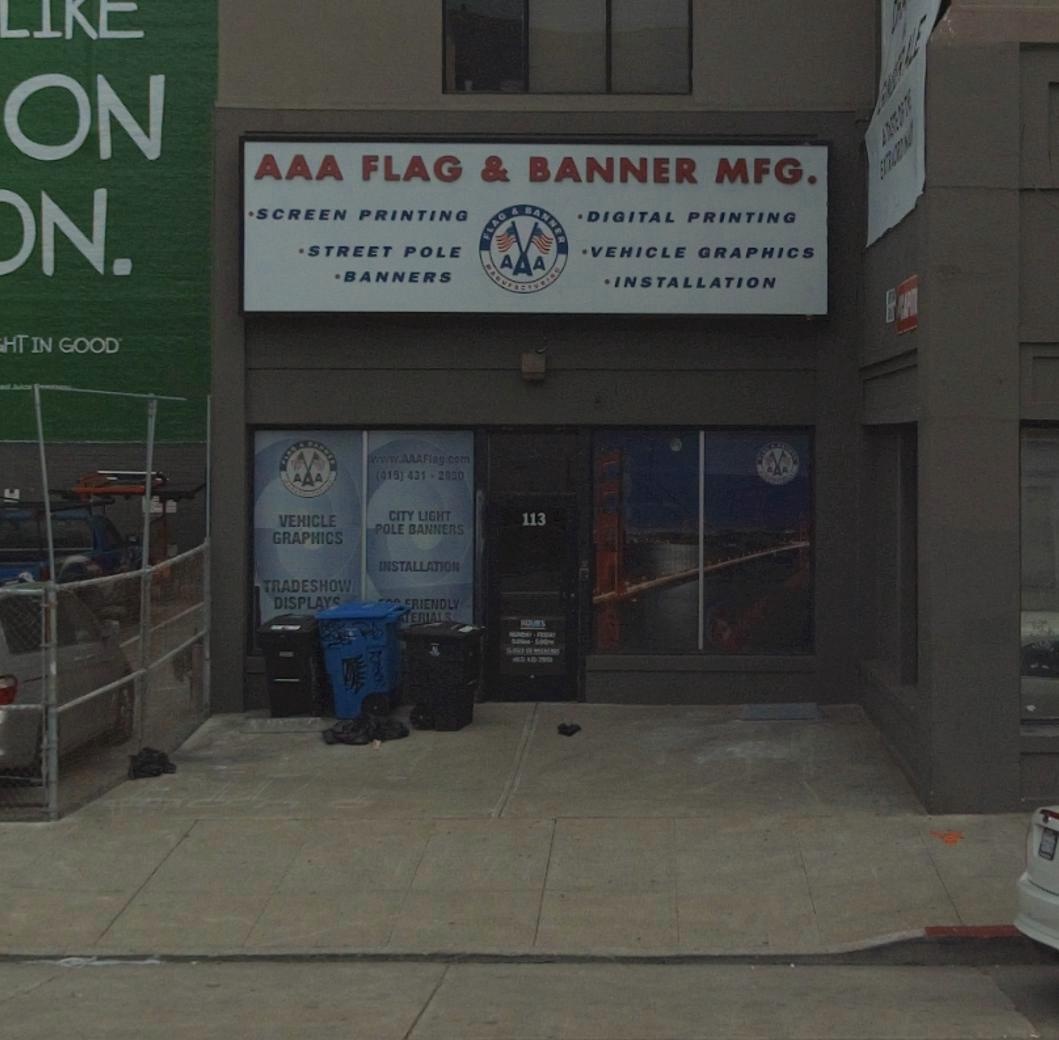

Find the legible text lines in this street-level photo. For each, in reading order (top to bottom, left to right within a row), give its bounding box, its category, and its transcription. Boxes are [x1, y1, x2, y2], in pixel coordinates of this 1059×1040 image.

[0, 68, 171, 167] None: ON
[248, 147, 820, 189] BusinessName: AAA FLAG & BANNER MFG.
[35, 183, 112, 282] None: N
[252, 204, 473, 225] None: SCREEN PRINTING
[476, 203, 568, 246] None: FLAG & BANNER
[581, 208, 799, 226] None: DIGITAL PRINTING
[303, 241, 467, 262] None: STREET POLE
[587, 242, 818, 262] None: VEHICLE GRAPHICS
[497, 250, 550, 279] None: AAA
[339, 268, 457, 286] None: BANNERS
[610, 273, 781, 292] None: INSTALLATION
[2, 331, 122, 358] None: HT IN GOOD
[367, 451, 473, 468] None: www.AAAFlag.com
[290, 469, 326, 490] None: AAA
[378, 466, 468, 483] None: 415) 431 - 2950
[276, 511, 339, 530] None: VEHICLE
[270, 527, 346, 548] None: GRAPHICS
[385, 507, 454, 524] None: CITY LIGHT
[372, 520, 467, 537] None: POLE BANNERS
[520, 510, 548, 528] StreetNumber: 113
[377, 558, 462, 574] None: INSTALLATION
[260, 575, 355, 595] None: TRADESHOW
[271, 593, 343, 612] None: DISPLAYS
[410, 596, 462, 612] None: RIENDLY